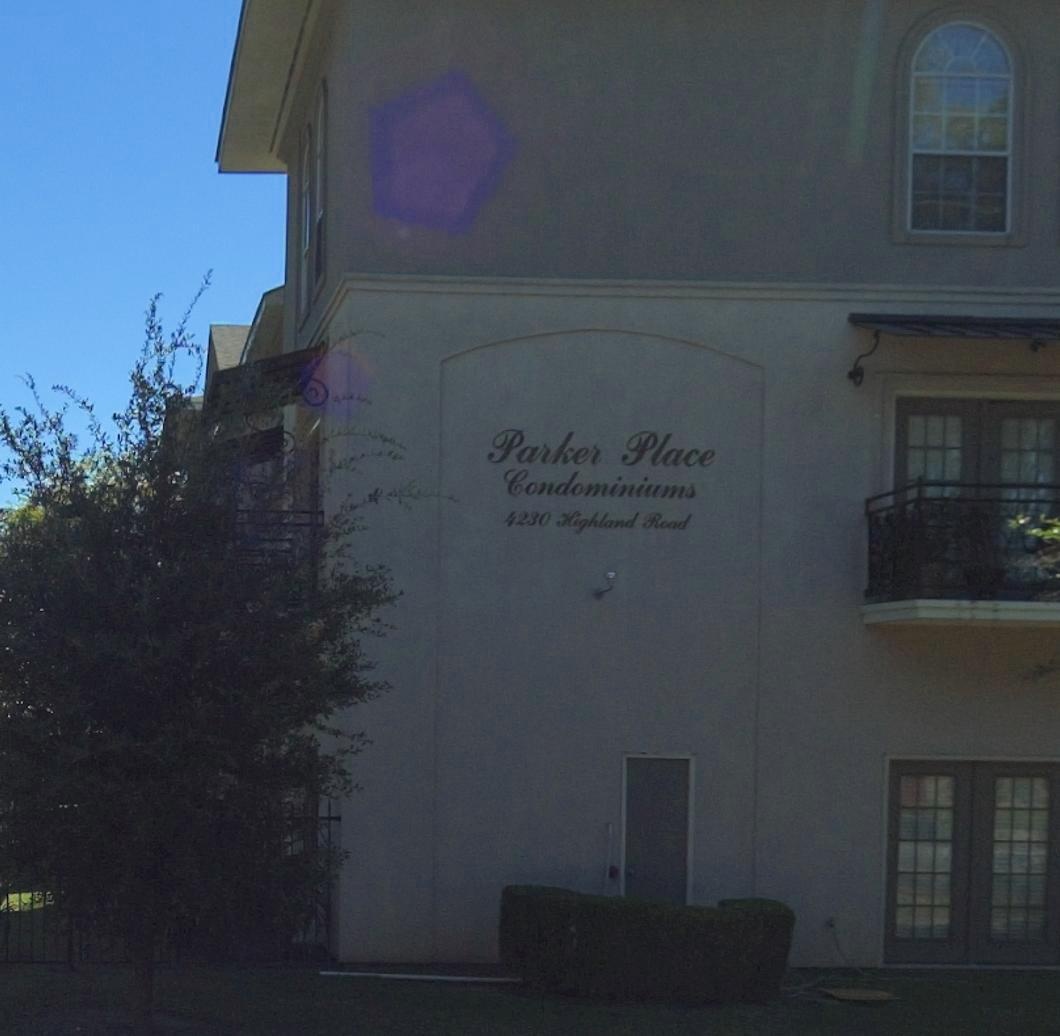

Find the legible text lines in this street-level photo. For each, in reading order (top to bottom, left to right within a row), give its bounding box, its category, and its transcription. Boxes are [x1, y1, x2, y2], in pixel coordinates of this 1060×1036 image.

[486, 428, 716, 468] BusinessName: Parker Place
[503, 468, 697, 500] BusinessName: Condominiums
[504, 510, 552, 527] StreetNumber: 4230
[554, 509, 692, 534] StreetName: Highland Road